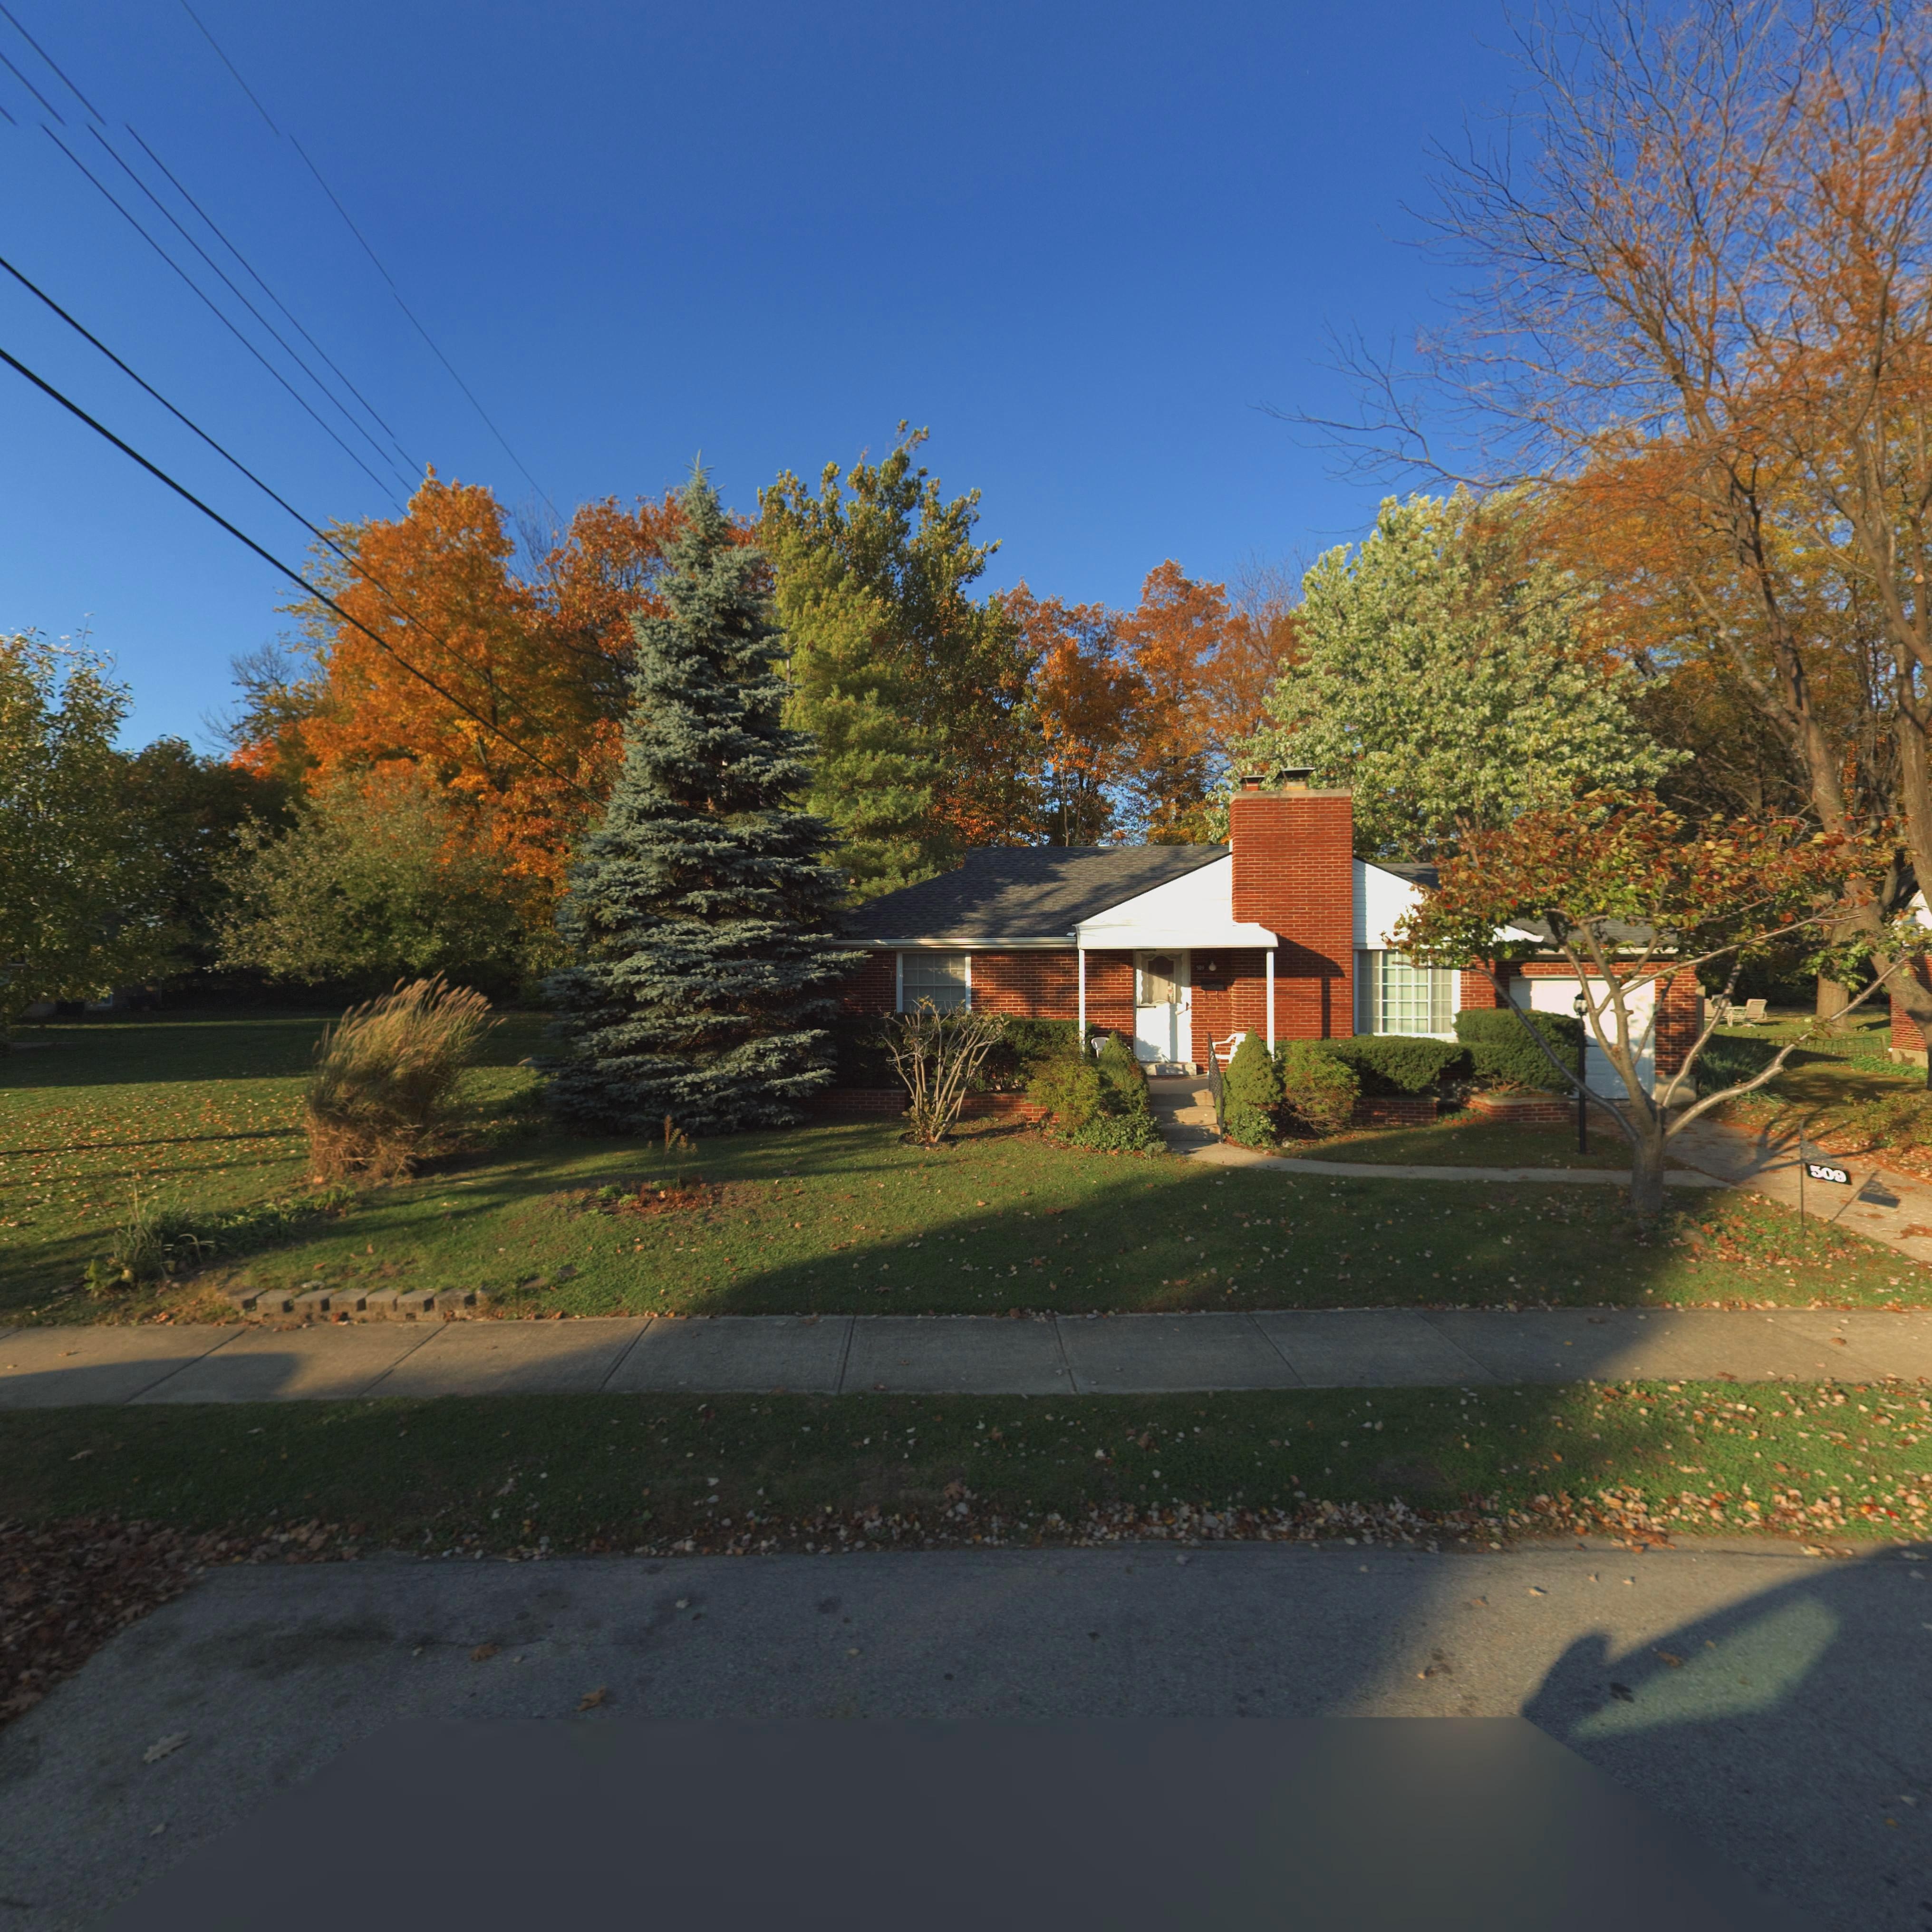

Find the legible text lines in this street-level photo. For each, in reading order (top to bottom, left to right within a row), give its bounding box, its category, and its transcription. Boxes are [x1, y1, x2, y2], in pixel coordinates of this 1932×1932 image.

[1196, 964, 1205, 971] StreetNumber: 509
[1809, 1164, 1848, 1184] StreetNumber: 509